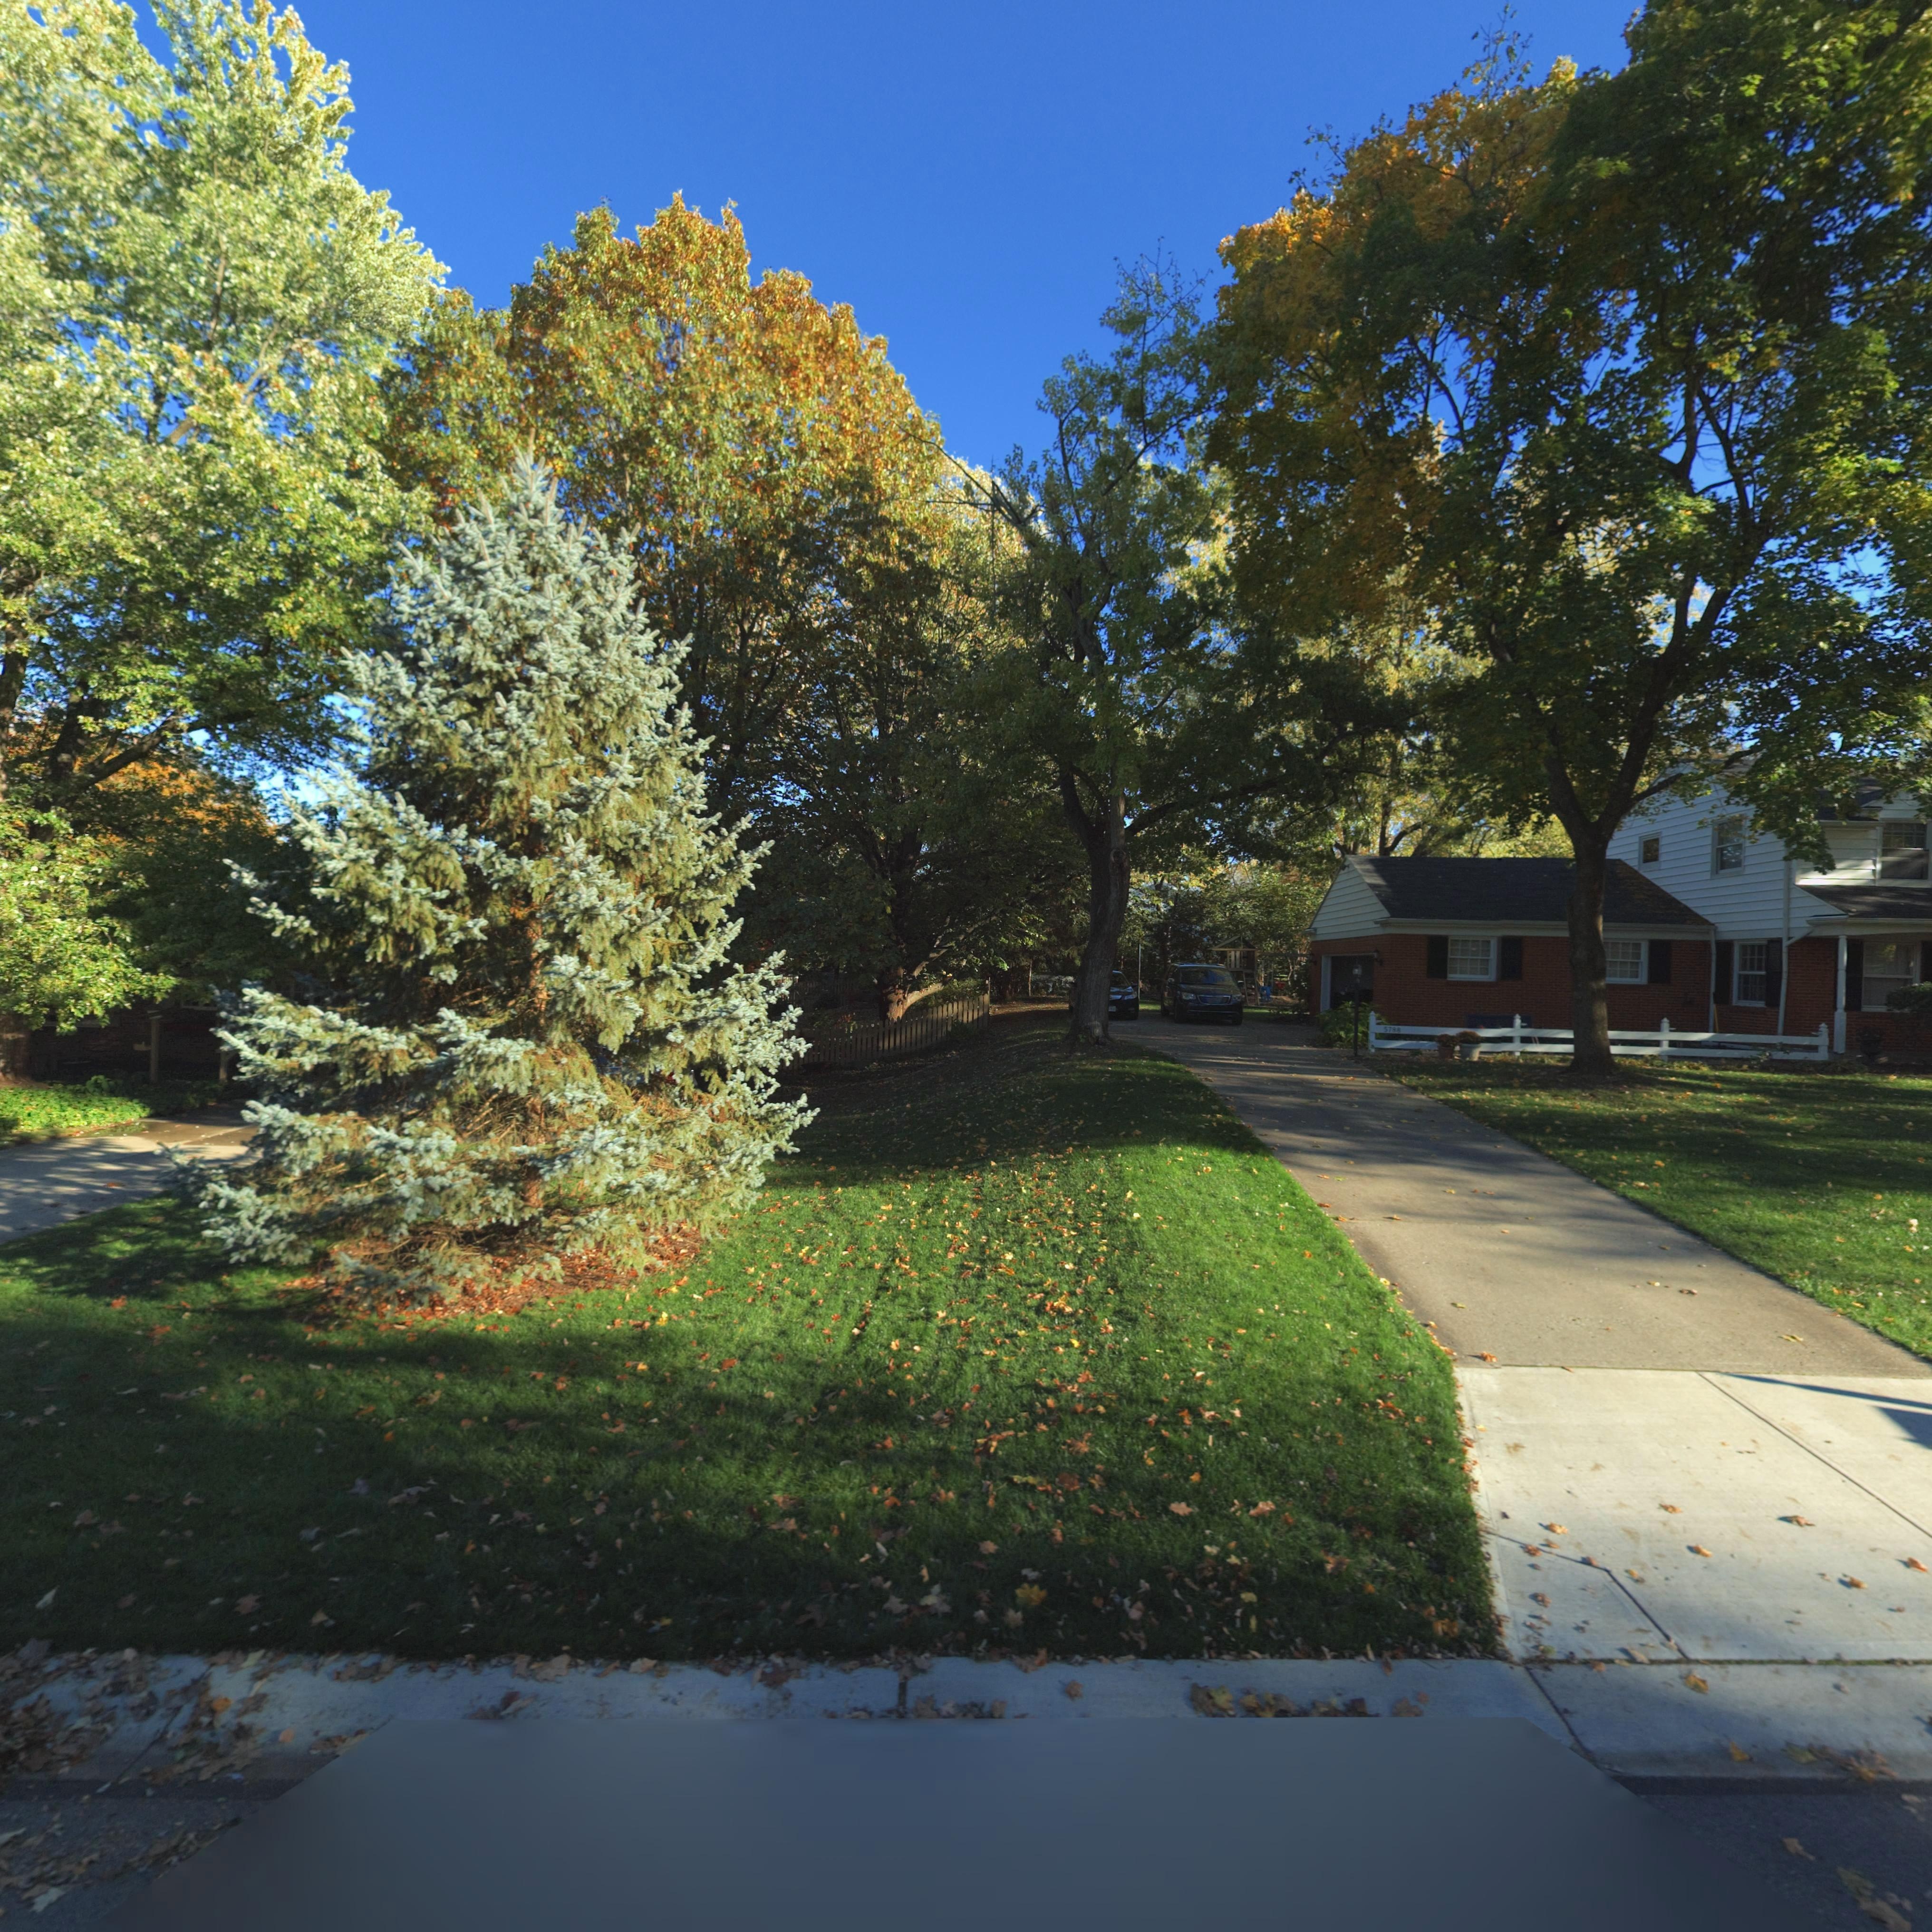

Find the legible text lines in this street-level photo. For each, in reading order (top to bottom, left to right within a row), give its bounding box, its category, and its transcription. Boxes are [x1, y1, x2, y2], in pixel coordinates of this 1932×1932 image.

[1383, 1026, 1401, 1034] StreetNumber: 5788